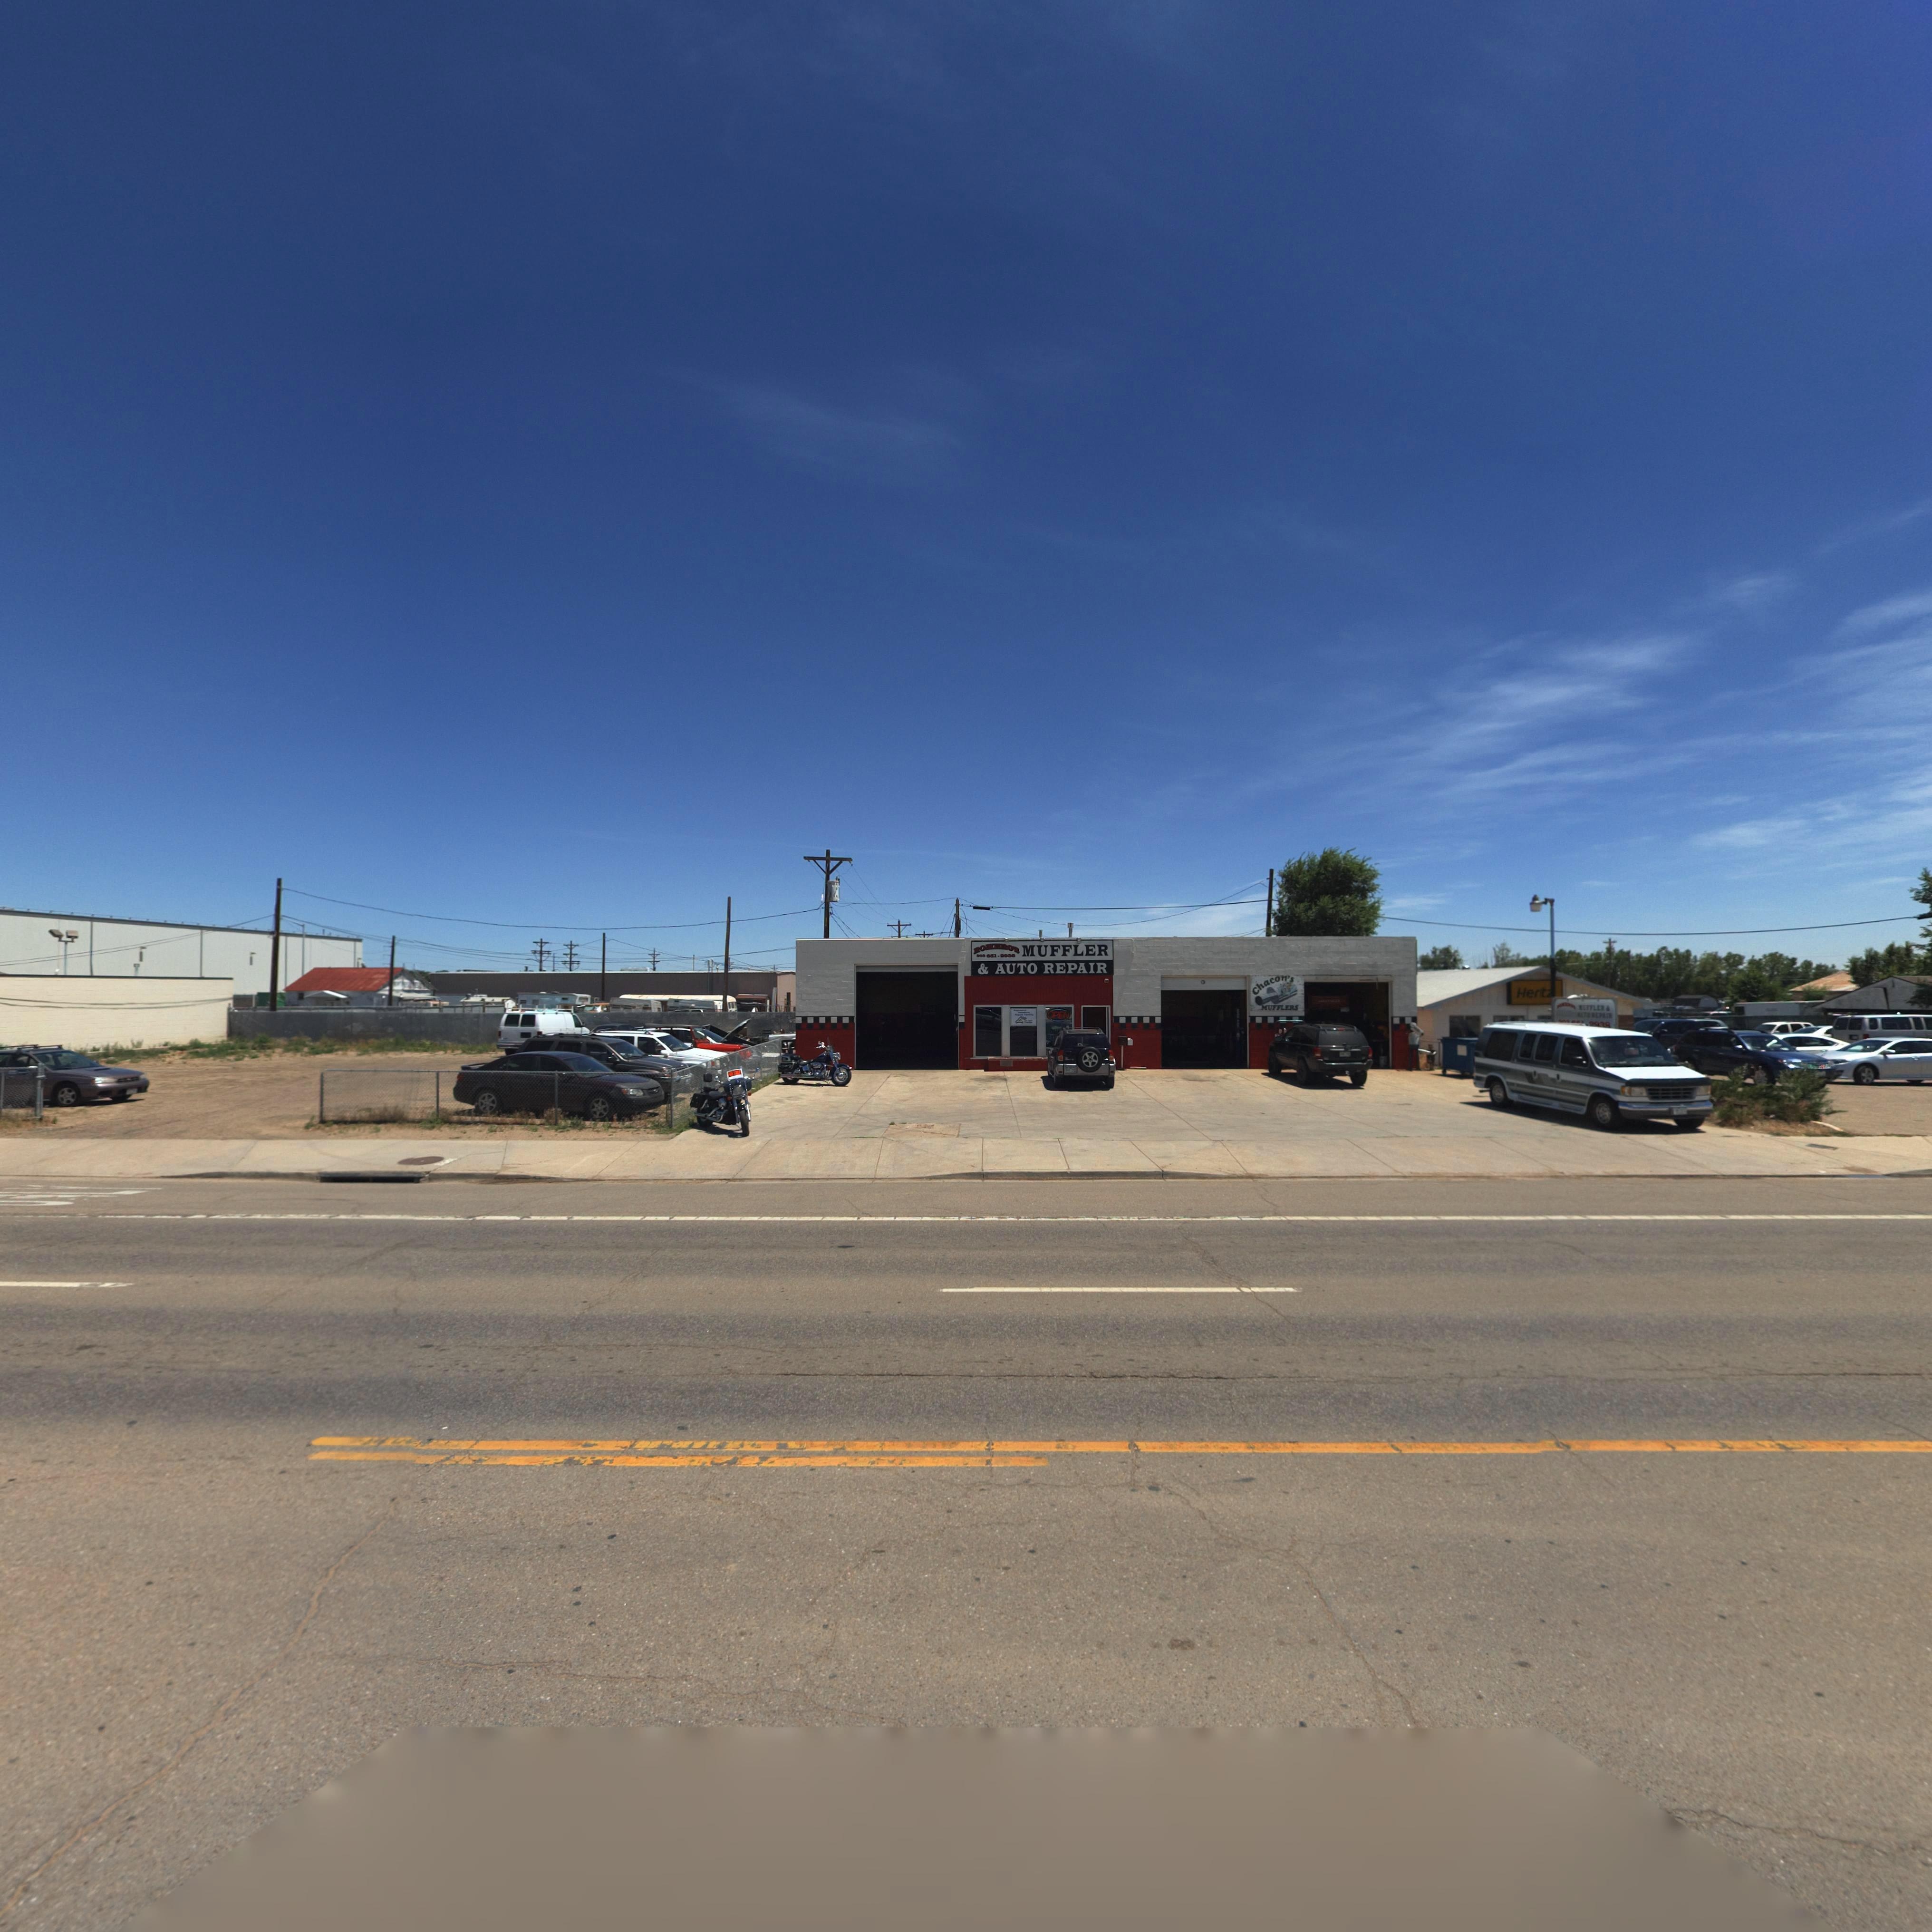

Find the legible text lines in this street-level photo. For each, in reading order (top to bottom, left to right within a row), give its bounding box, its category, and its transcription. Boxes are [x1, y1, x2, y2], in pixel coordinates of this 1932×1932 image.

[973, 942, 1020, 955] BusinessName: ROMERO'S
[1021, 944, 1109, 957] BusinessName: MUFFLER
[978, 962, 1107, 974] BusinessName: & AUTO REPAIR
[1250, 974, 1296, 995] BusinessName: Chacon's
[1515, 986, 1553, 998] BusinessName: Hertz
[1261, 1004, 1298, 1011] BusinessName: MUFFLERS